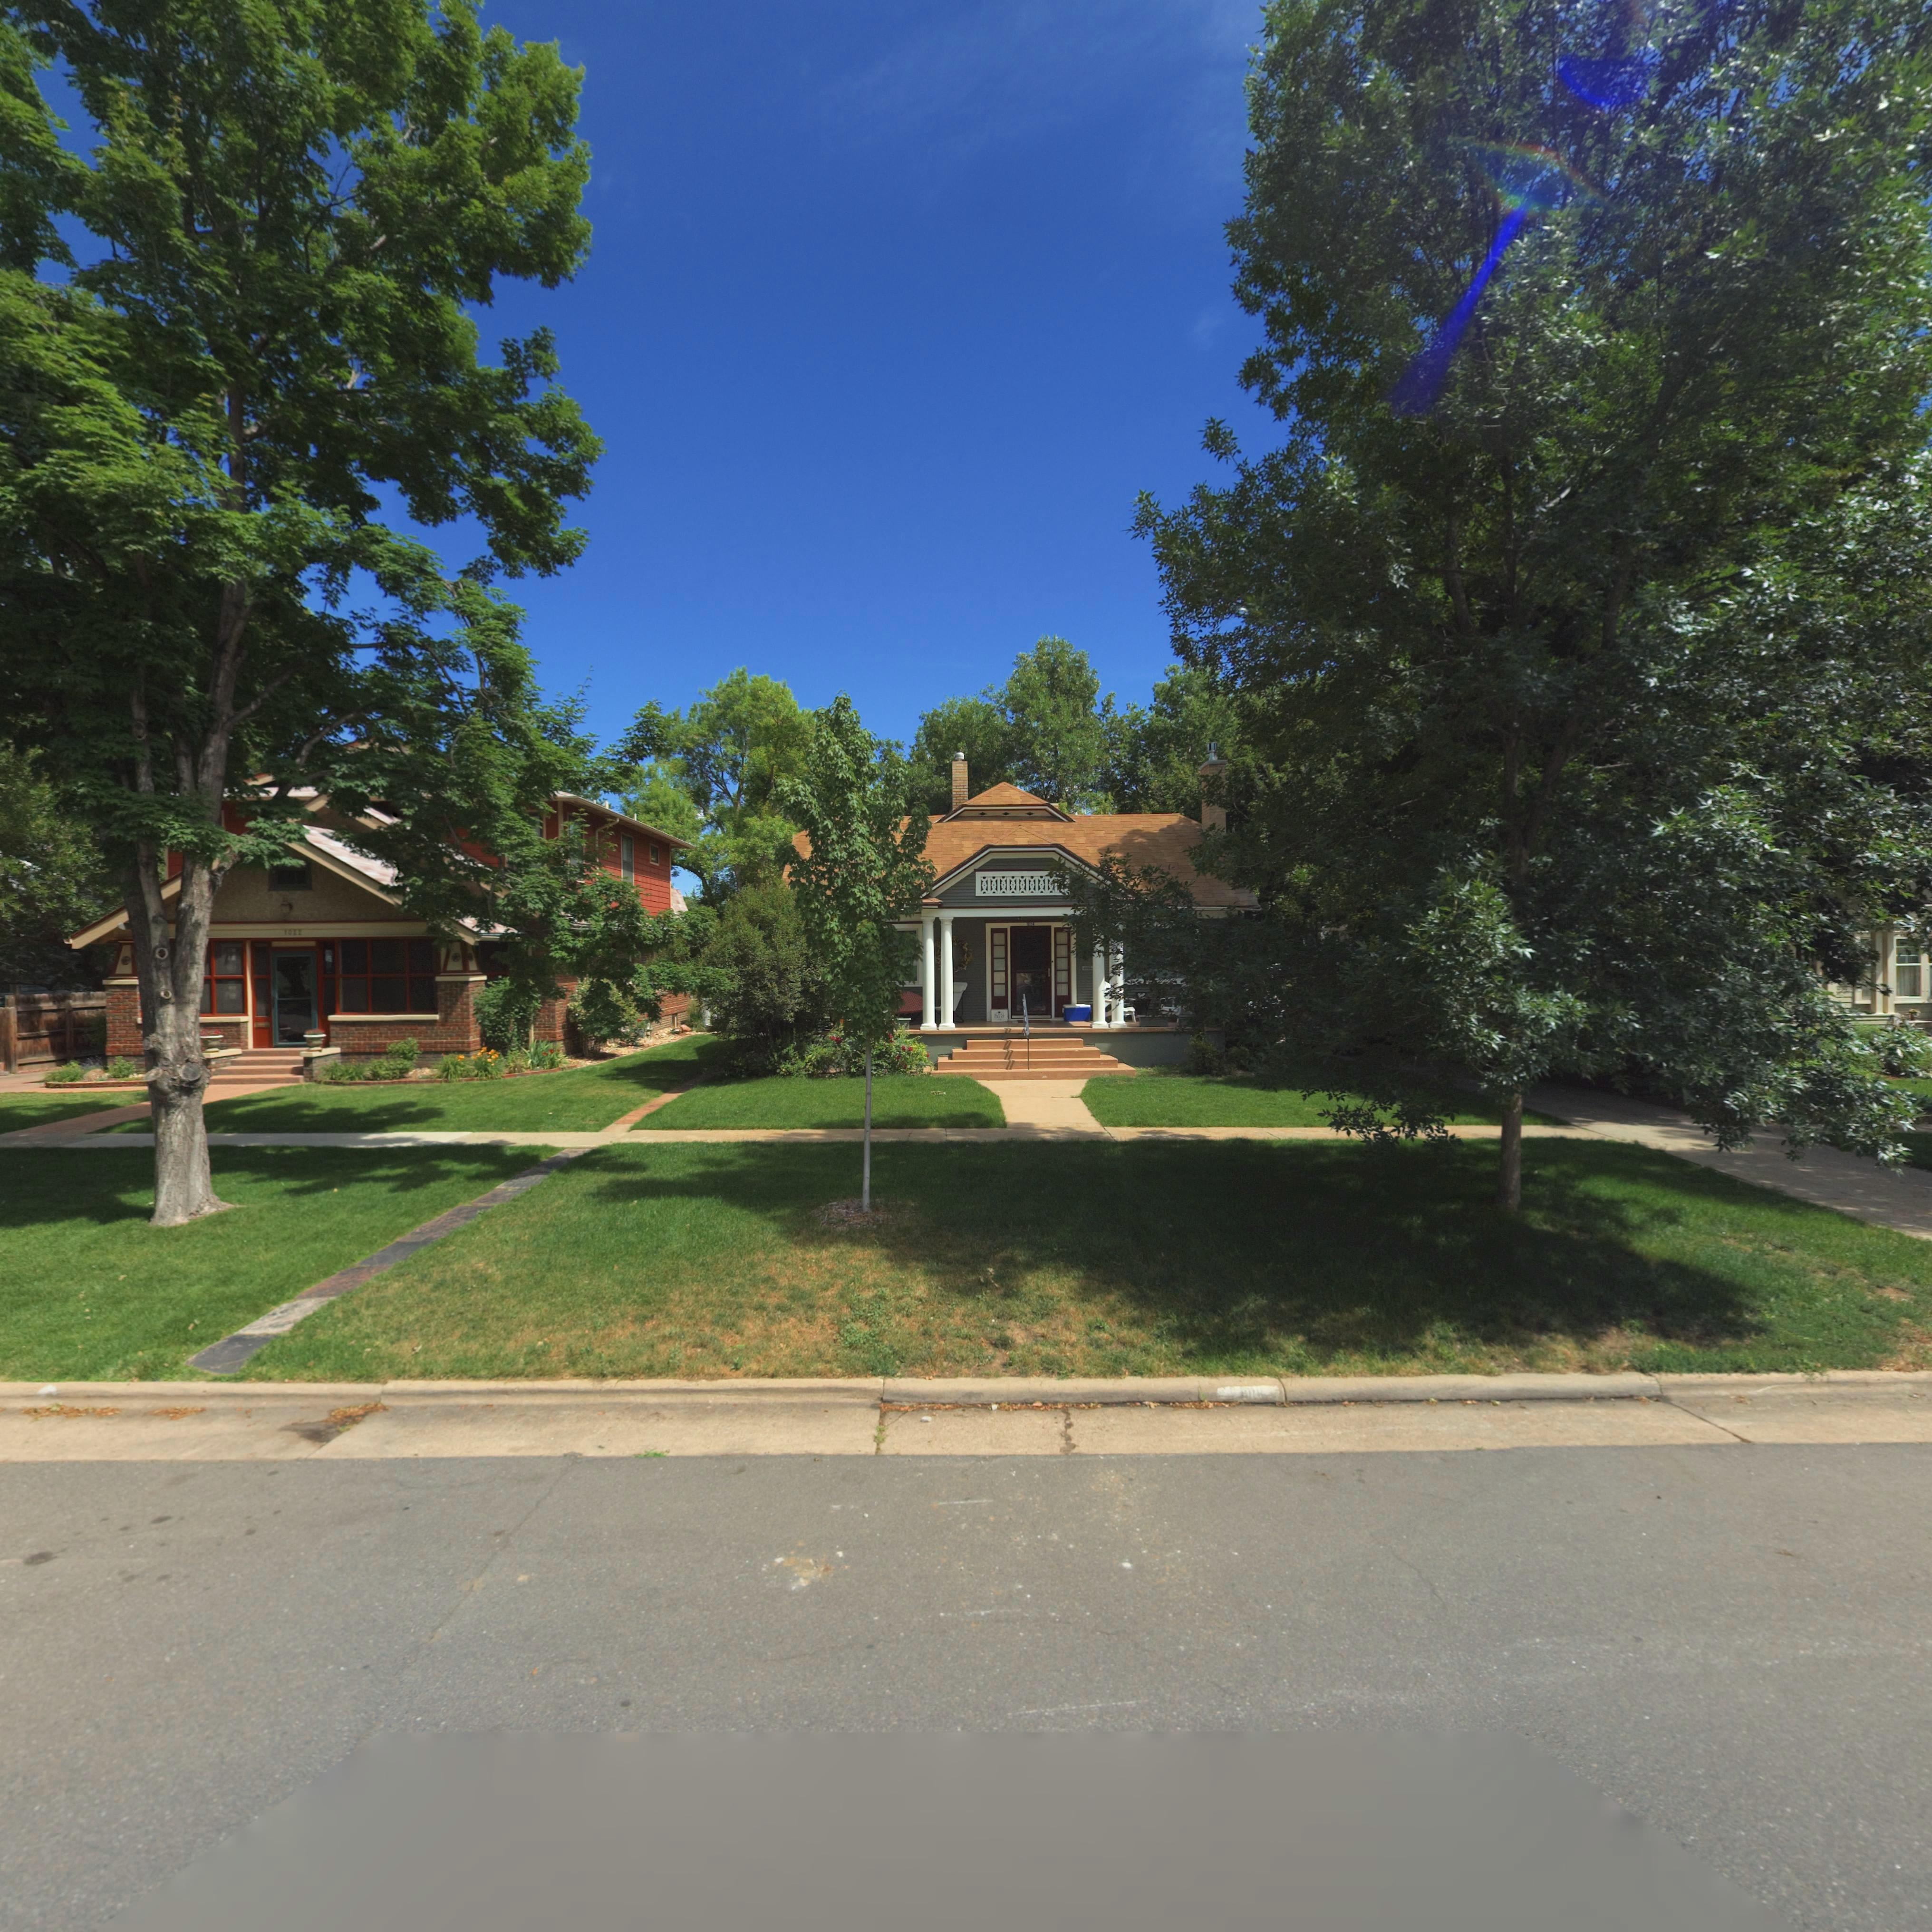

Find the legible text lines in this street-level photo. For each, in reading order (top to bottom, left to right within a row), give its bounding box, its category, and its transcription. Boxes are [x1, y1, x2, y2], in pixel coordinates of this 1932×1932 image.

[1026, 922, 1034, 926] StreetNumber: 10*4
[283, 928, 302, 935] StreetNumber: 1022